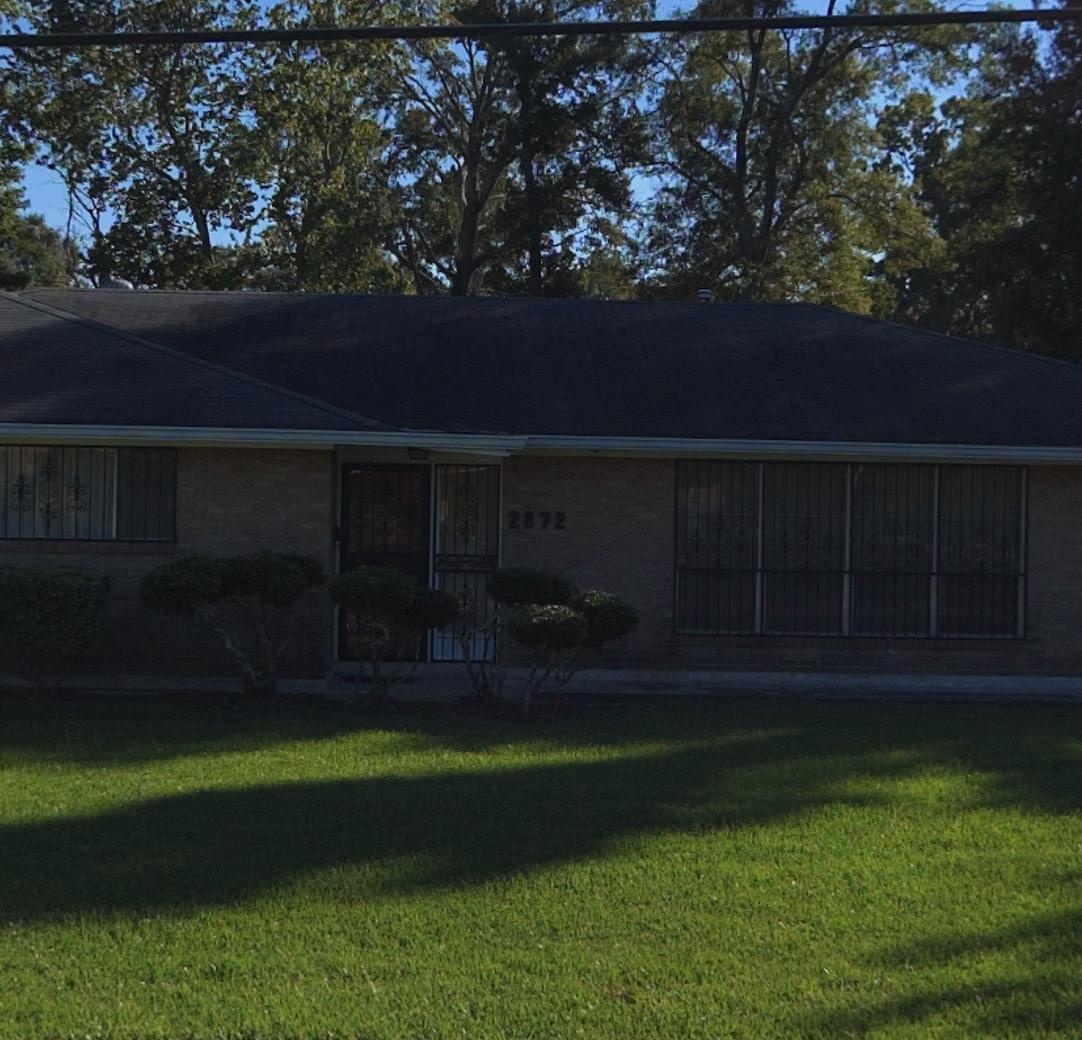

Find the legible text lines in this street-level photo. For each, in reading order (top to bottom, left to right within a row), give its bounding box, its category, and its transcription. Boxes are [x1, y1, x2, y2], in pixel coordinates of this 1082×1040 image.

[505, 509, 569, 531] StreetNumber: 2872